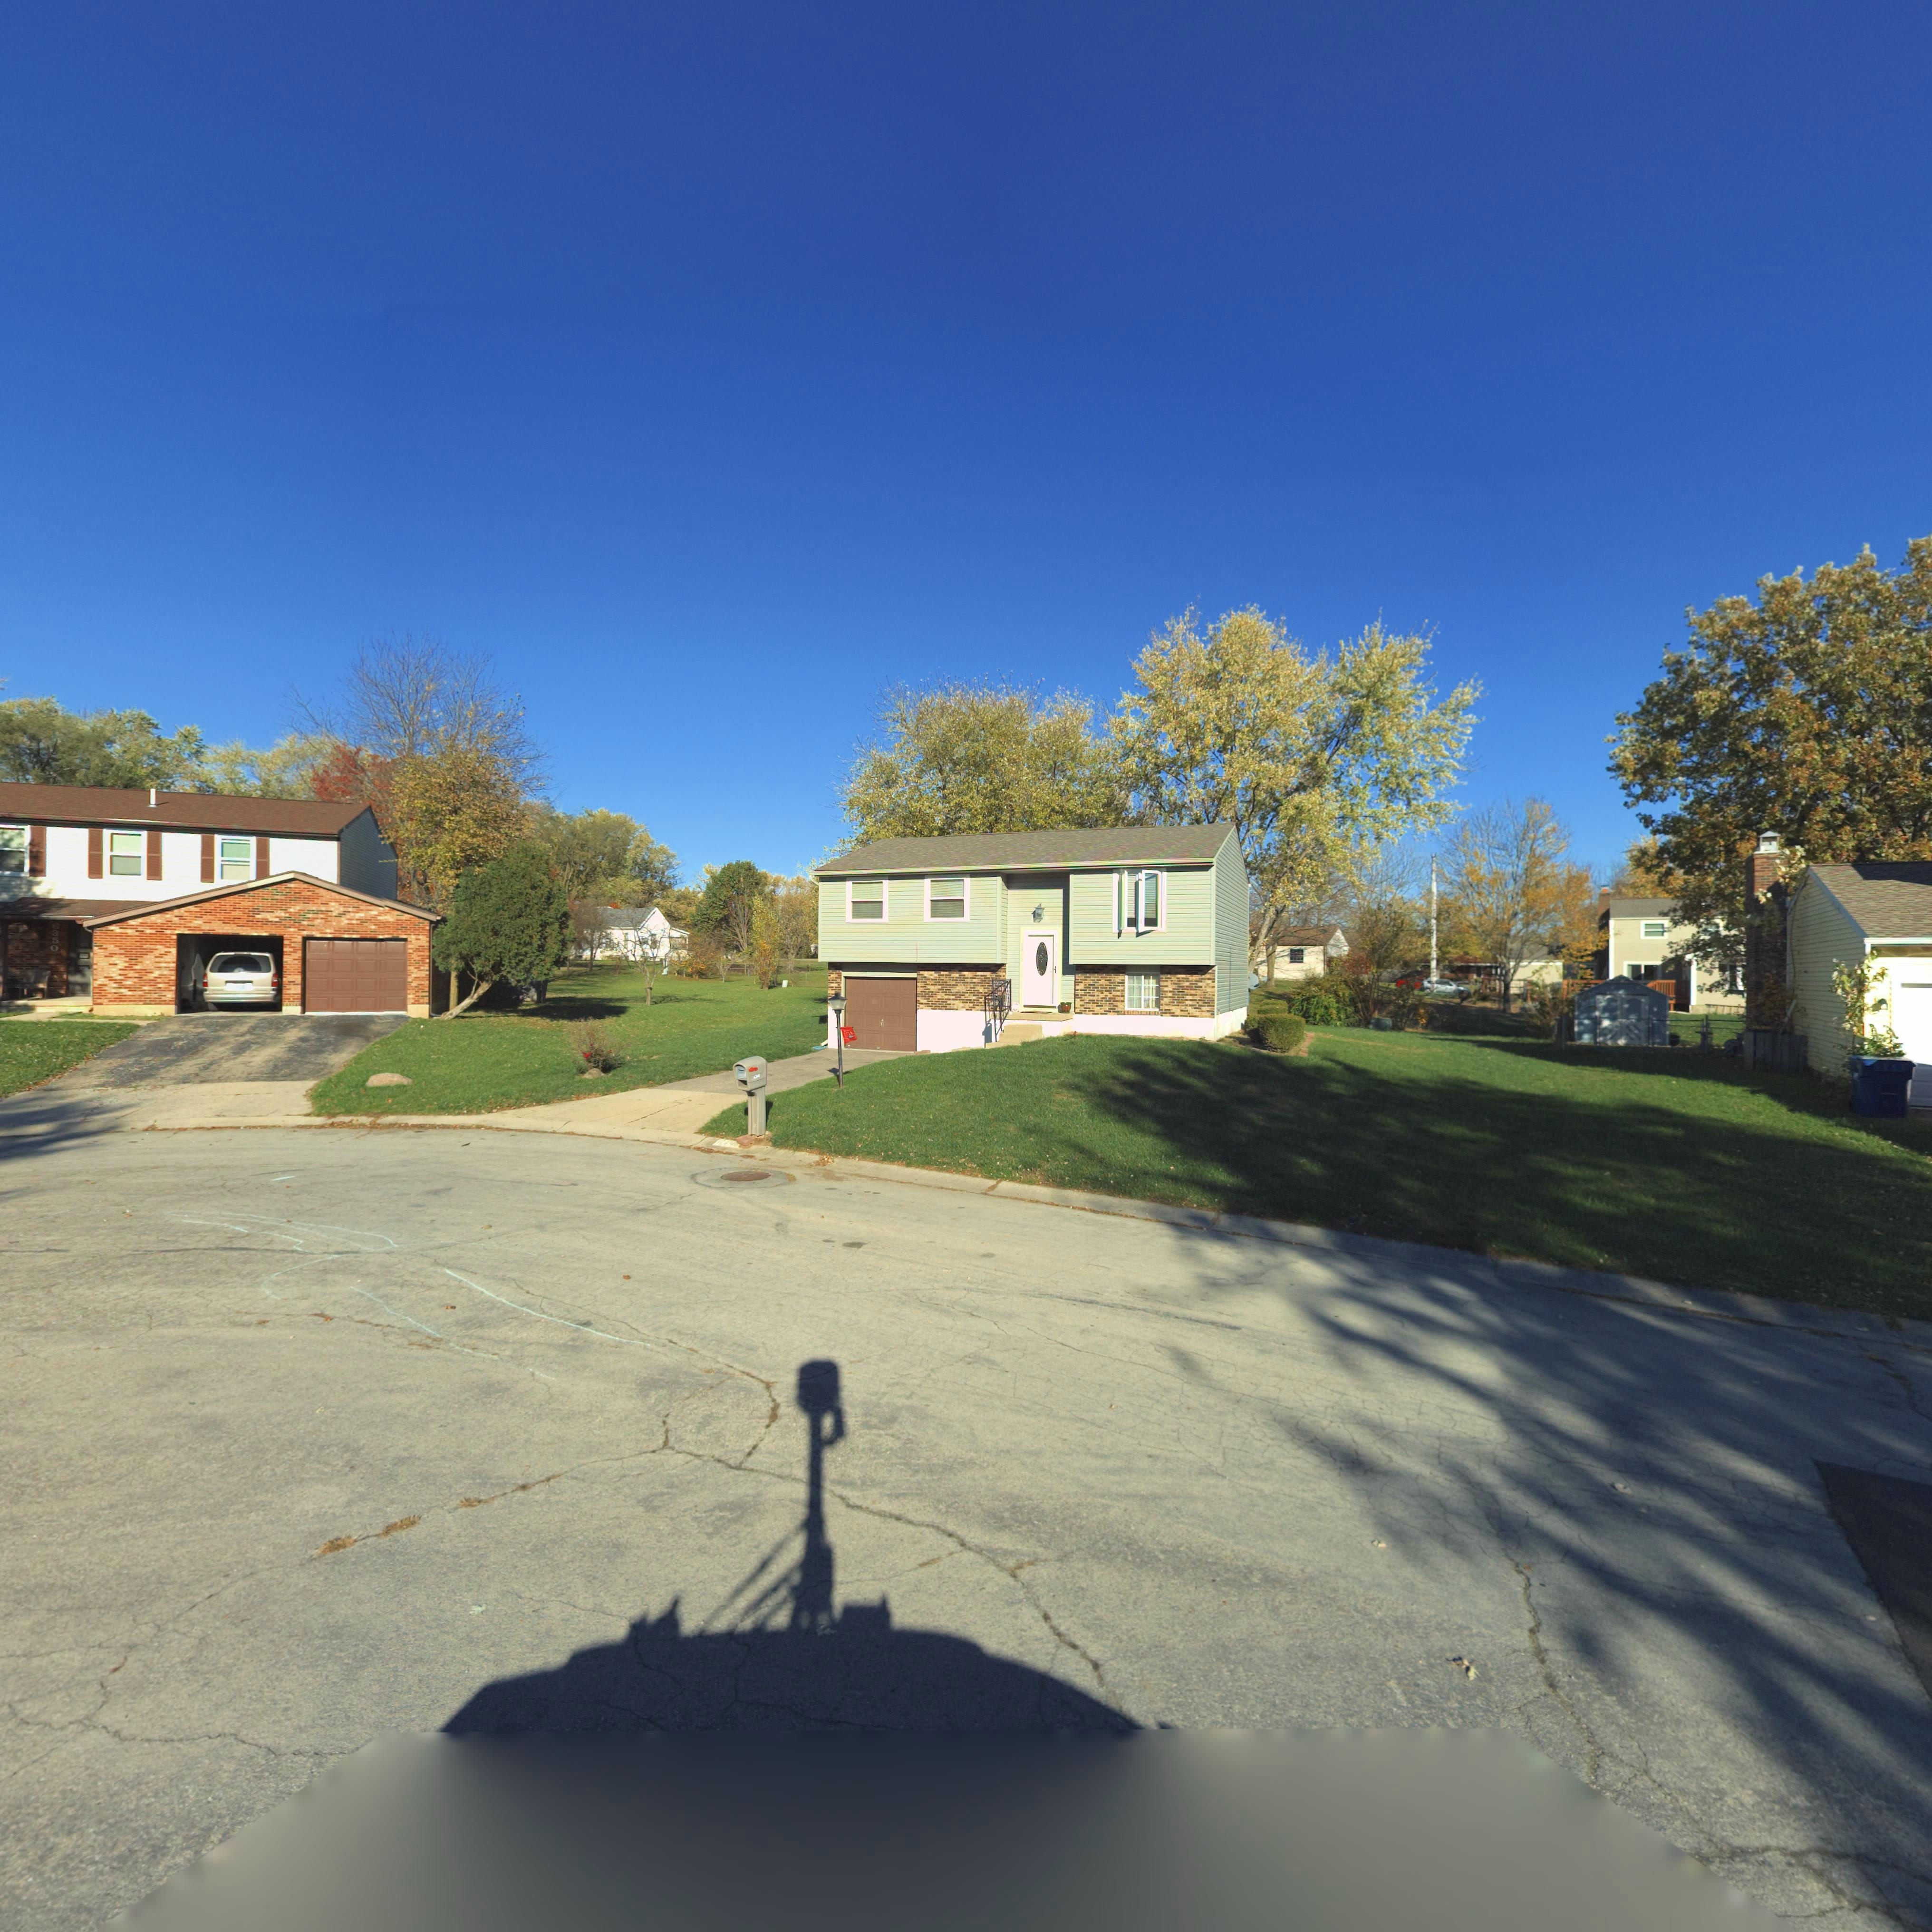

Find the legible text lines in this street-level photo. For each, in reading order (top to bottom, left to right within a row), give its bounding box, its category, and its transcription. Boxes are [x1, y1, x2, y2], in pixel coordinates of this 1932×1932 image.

[49, 921, 61, 953] StreetNumber: 6350